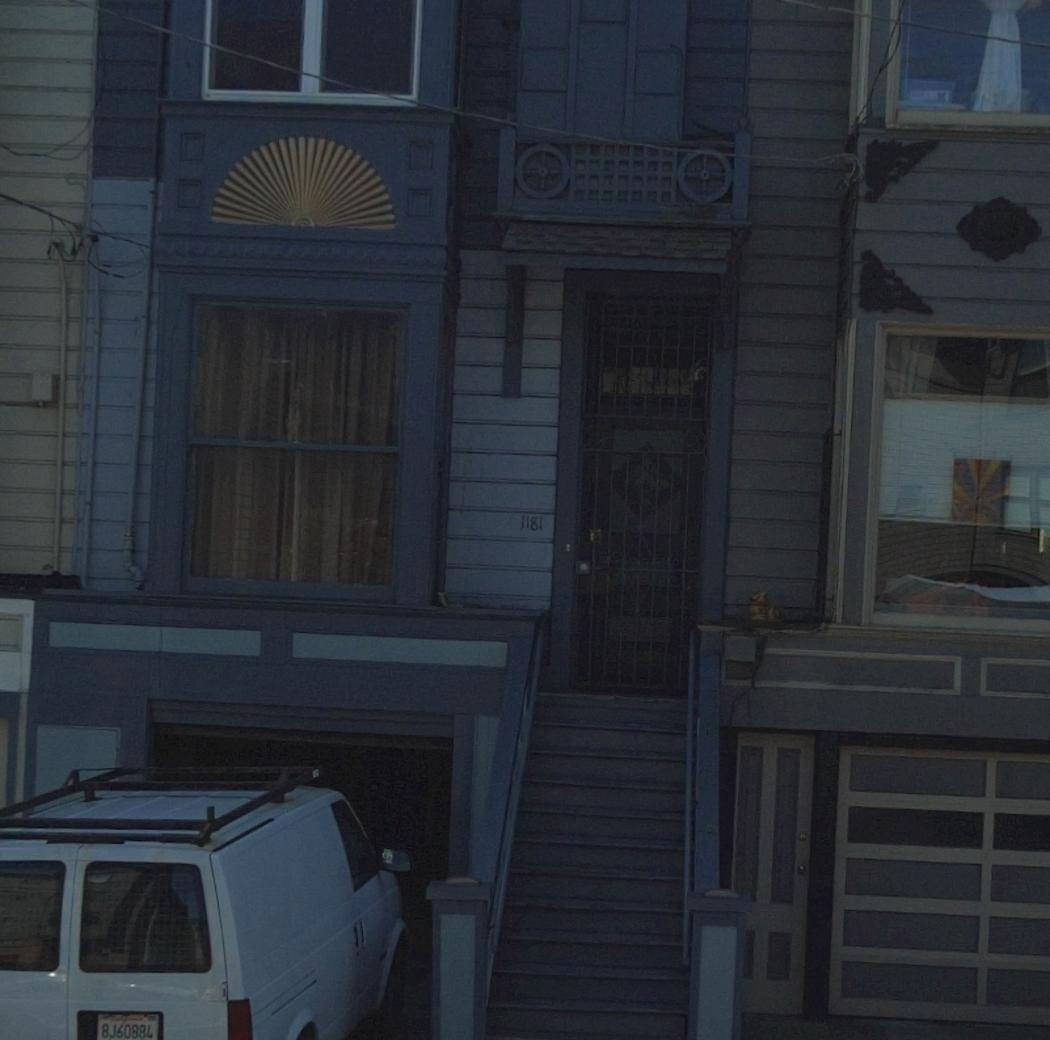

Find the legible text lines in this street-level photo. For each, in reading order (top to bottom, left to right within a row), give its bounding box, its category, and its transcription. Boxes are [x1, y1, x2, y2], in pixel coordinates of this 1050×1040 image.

[519, 514, 544, 532] StreetNumber: 1181
[100, 1023, 153, 1038] None: 8J60881